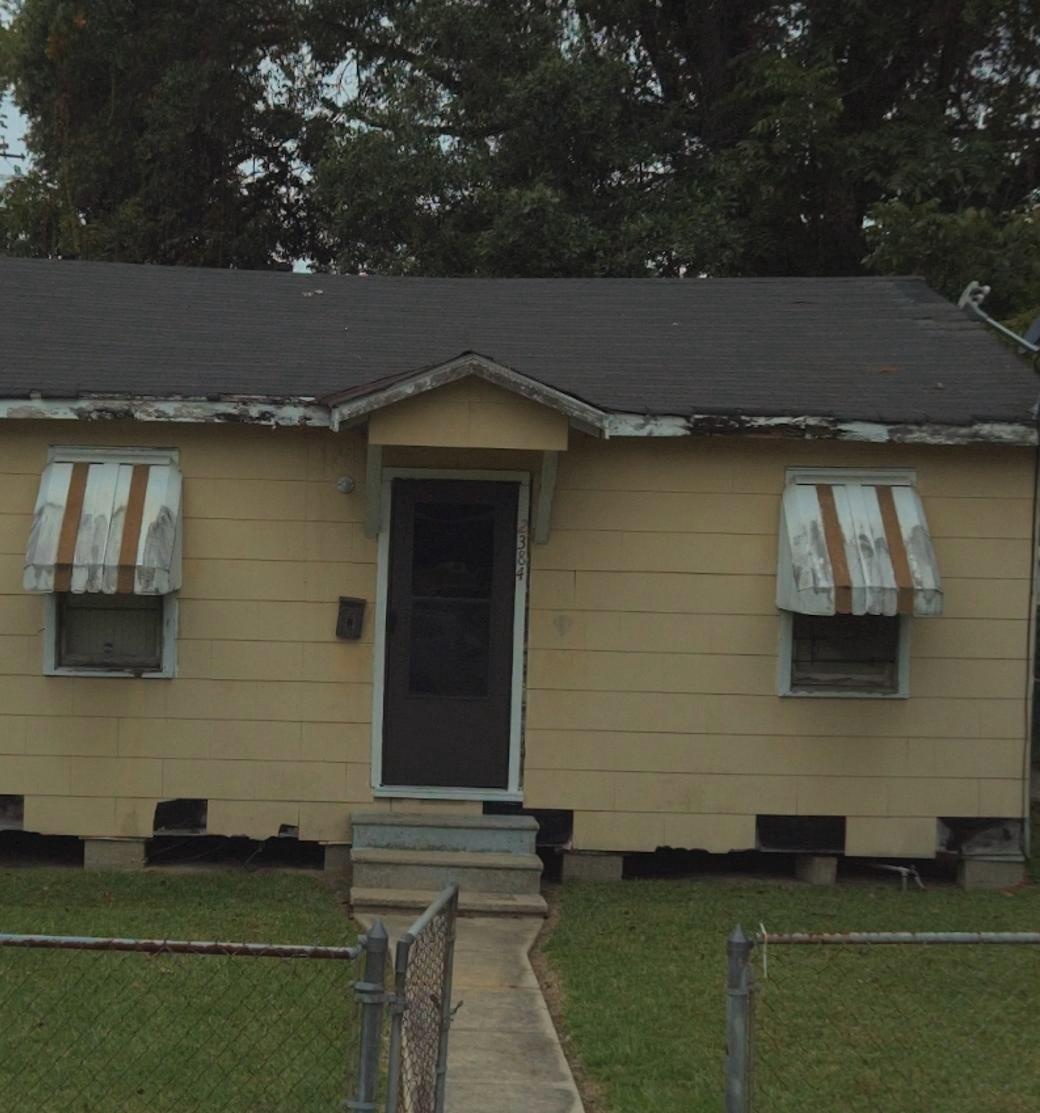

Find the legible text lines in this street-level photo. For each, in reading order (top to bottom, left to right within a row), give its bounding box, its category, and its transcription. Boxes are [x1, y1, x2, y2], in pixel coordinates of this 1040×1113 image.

[516, 519, 528, 582] StreetNumber: 2384